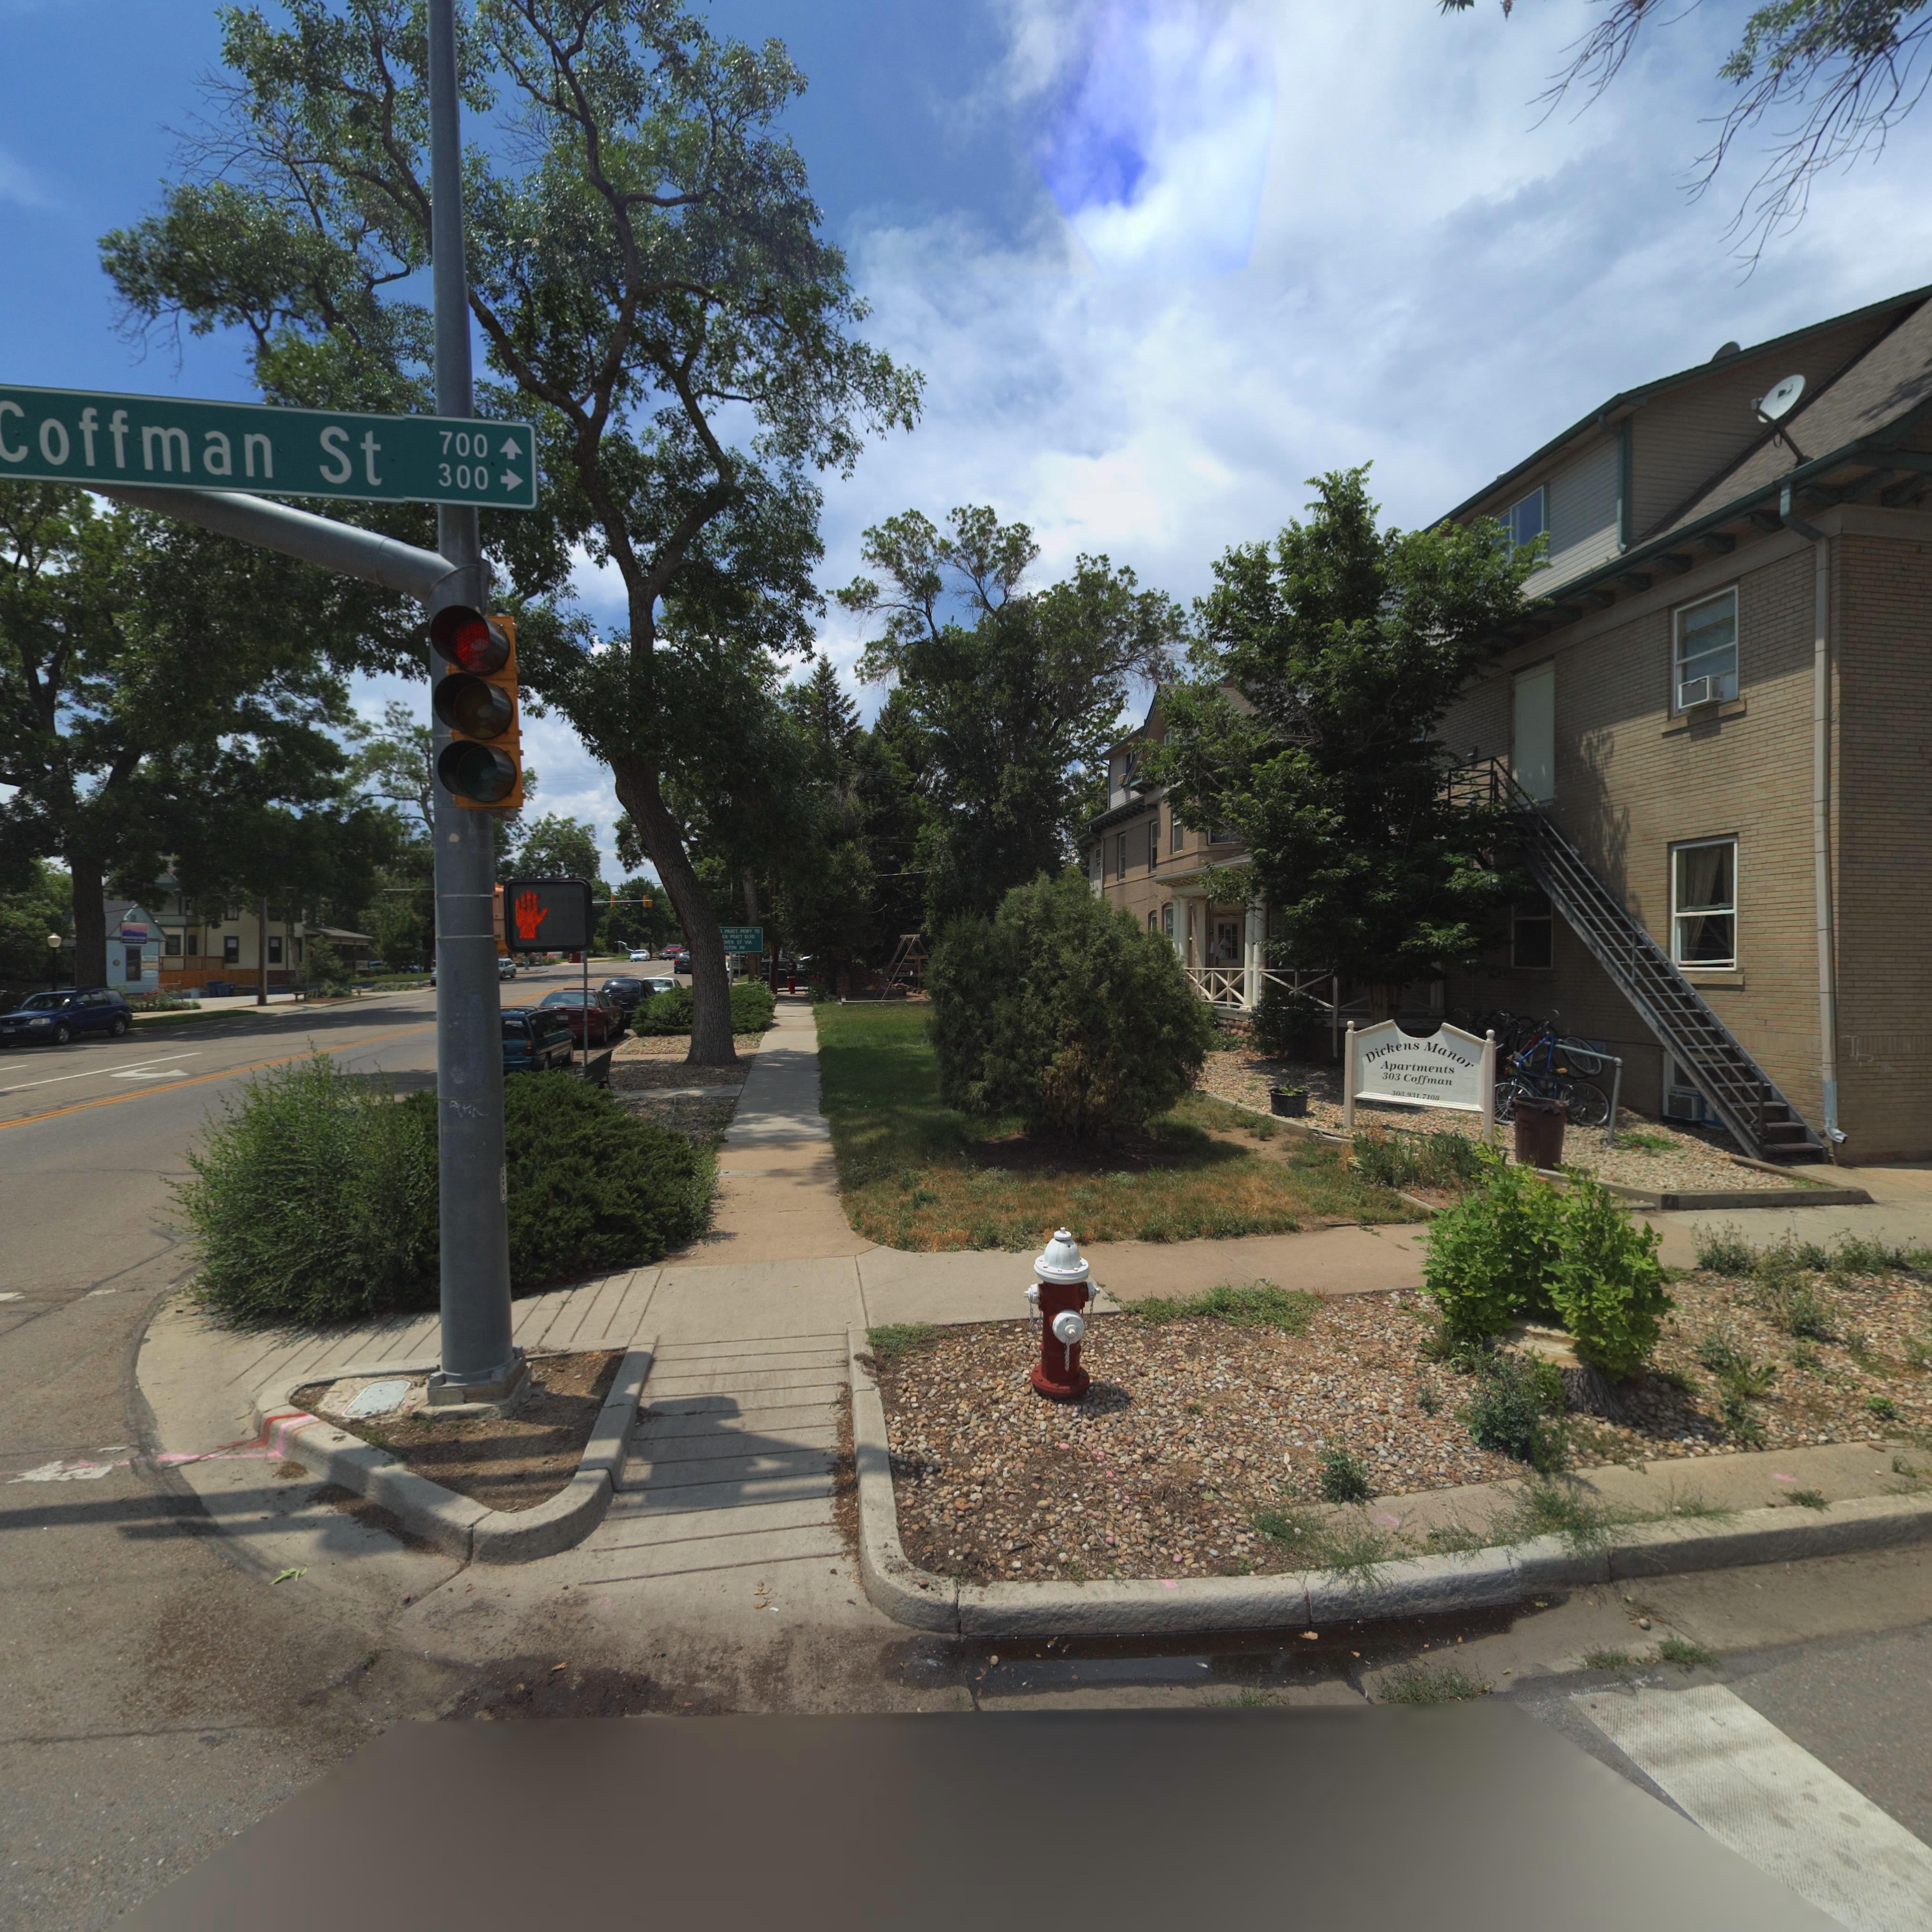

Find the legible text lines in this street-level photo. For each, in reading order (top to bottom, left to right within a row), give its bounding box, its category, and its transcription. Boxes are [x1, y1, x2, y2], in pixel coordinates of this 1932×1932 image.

[35, 405, 385, 487] StreetName: offman St
[438, 431, 489, 459] StreetNumberRange: 700
[437, 463, 524, 492] StreetNumberRange: 300->
[1381, 1071, 1401, 1081] StreetNumber: 303
[1380, 1060, 1455, 1074] BusinessName: Apartments
[1364, 1041, 1476, 1070] BusinessName: Dickens Manor
[1403, 1072, 1452, 1086] StreetName: Coffman